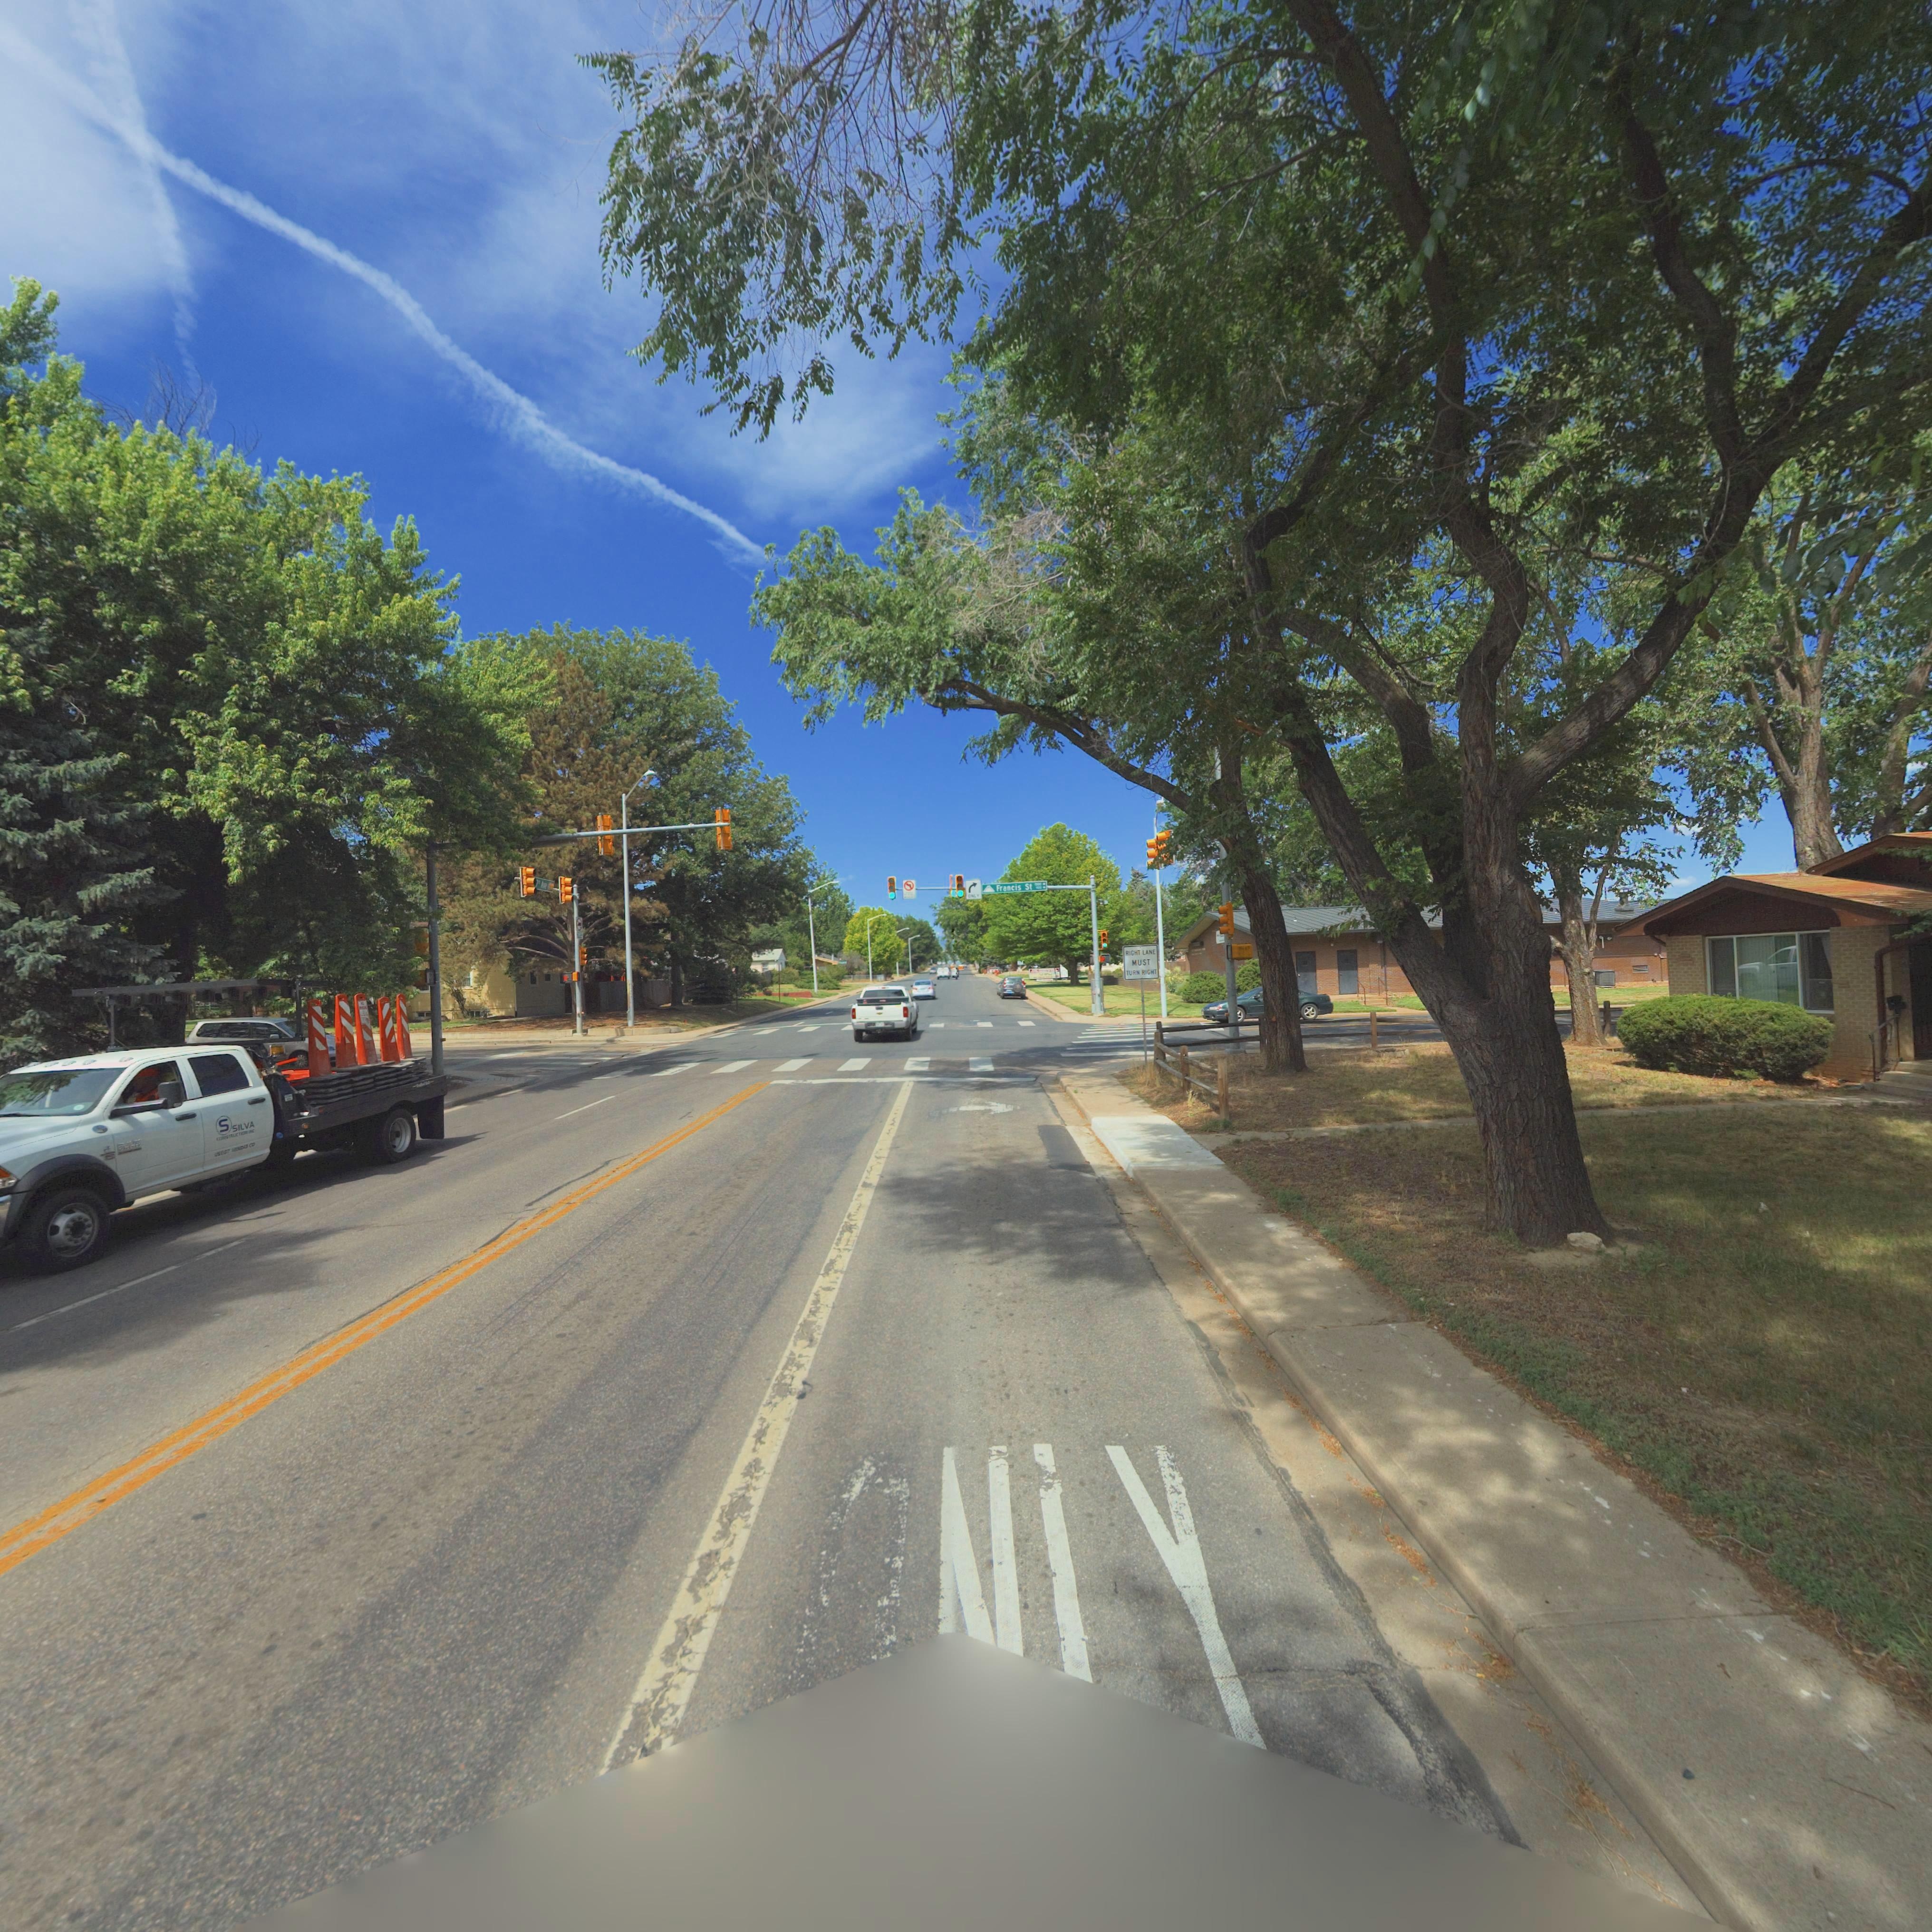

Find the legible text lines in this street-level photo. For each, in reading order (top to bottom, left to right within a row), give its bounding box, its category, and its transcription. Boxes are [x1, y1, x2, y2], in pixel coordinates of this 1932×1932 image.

[535, 879, 547, 889] StreetName: ** Ave
[996, 883, 1033, 891] StreetName: Francis St
[1034, 882, 1042, 886] StreetNumberRange: **00
[1035, 886, 1042, 889] StreetNumberRange: 900